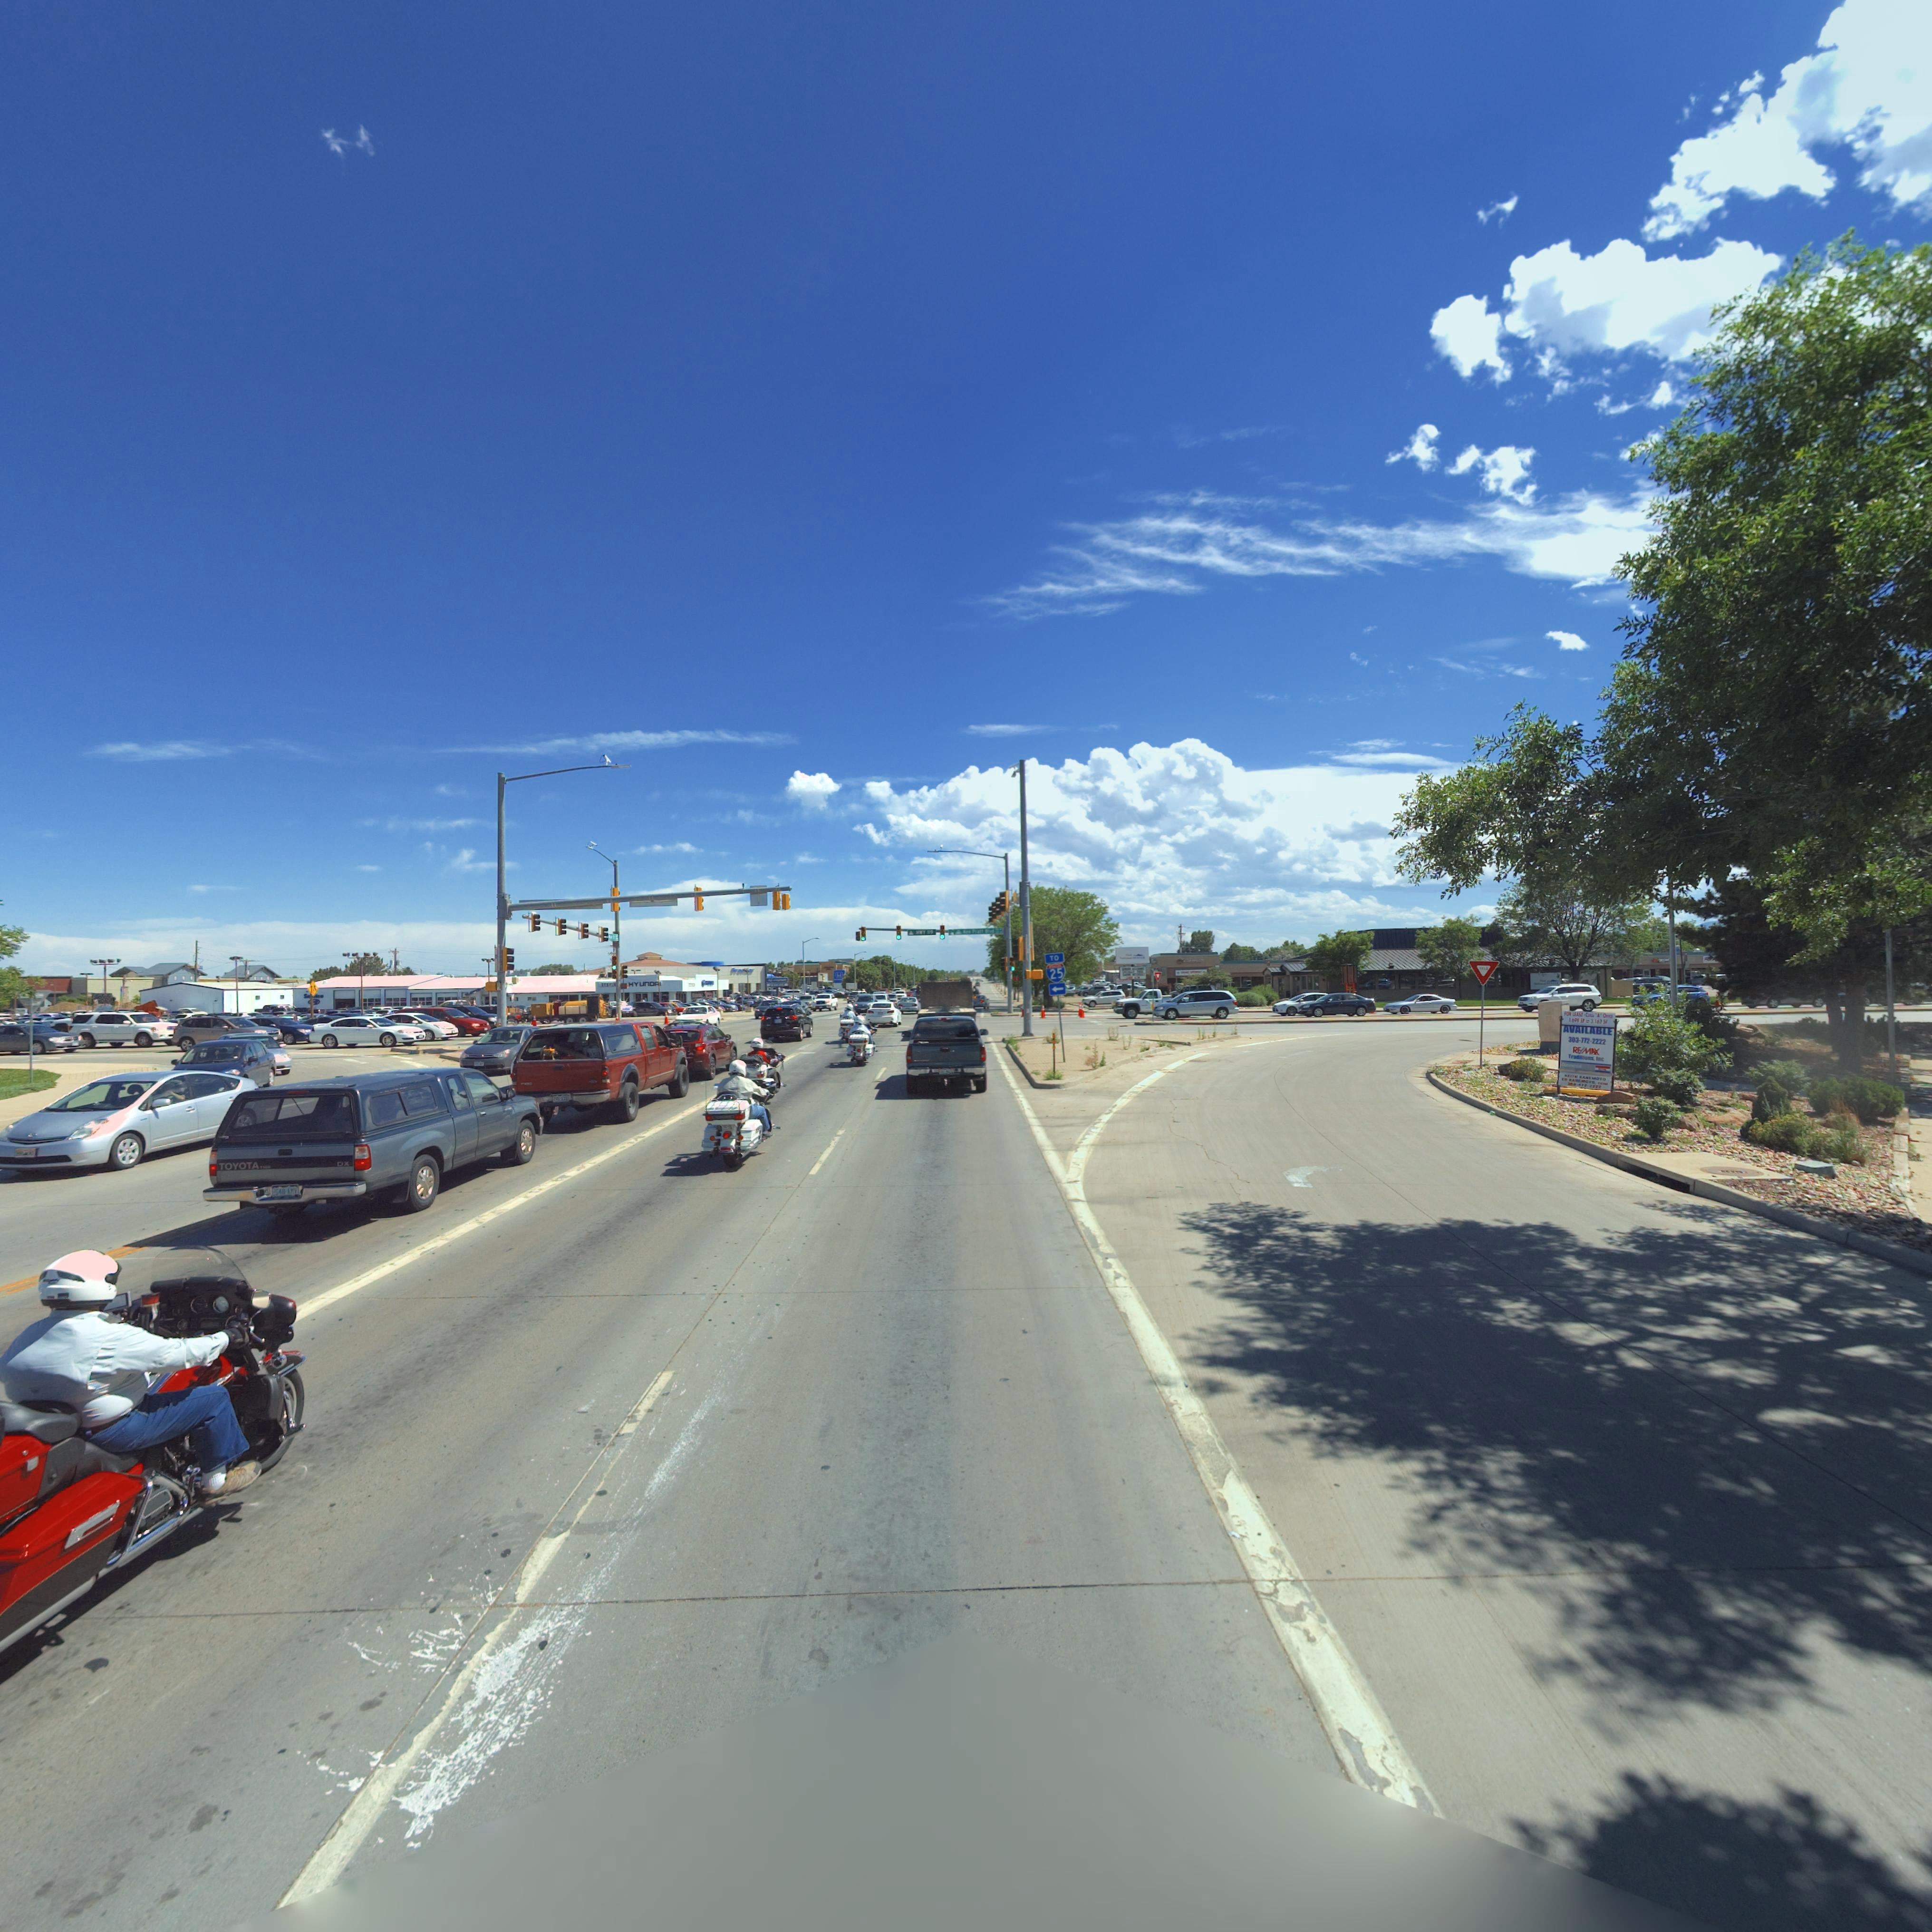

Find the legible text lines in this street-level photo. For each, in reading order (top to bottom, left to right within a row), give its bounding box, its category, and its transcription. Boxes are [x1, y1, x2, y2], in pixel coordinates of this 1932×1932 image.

[916, 930, 933, 934] StreetName: HWY 1*9
[962, 929, 995, 934] StreetName: KEN PRATT BLVD
[609, 934, 615, 939] StreetName: M*** S*
[628, 981, 661, 987] BusinessName: HYUNDA*